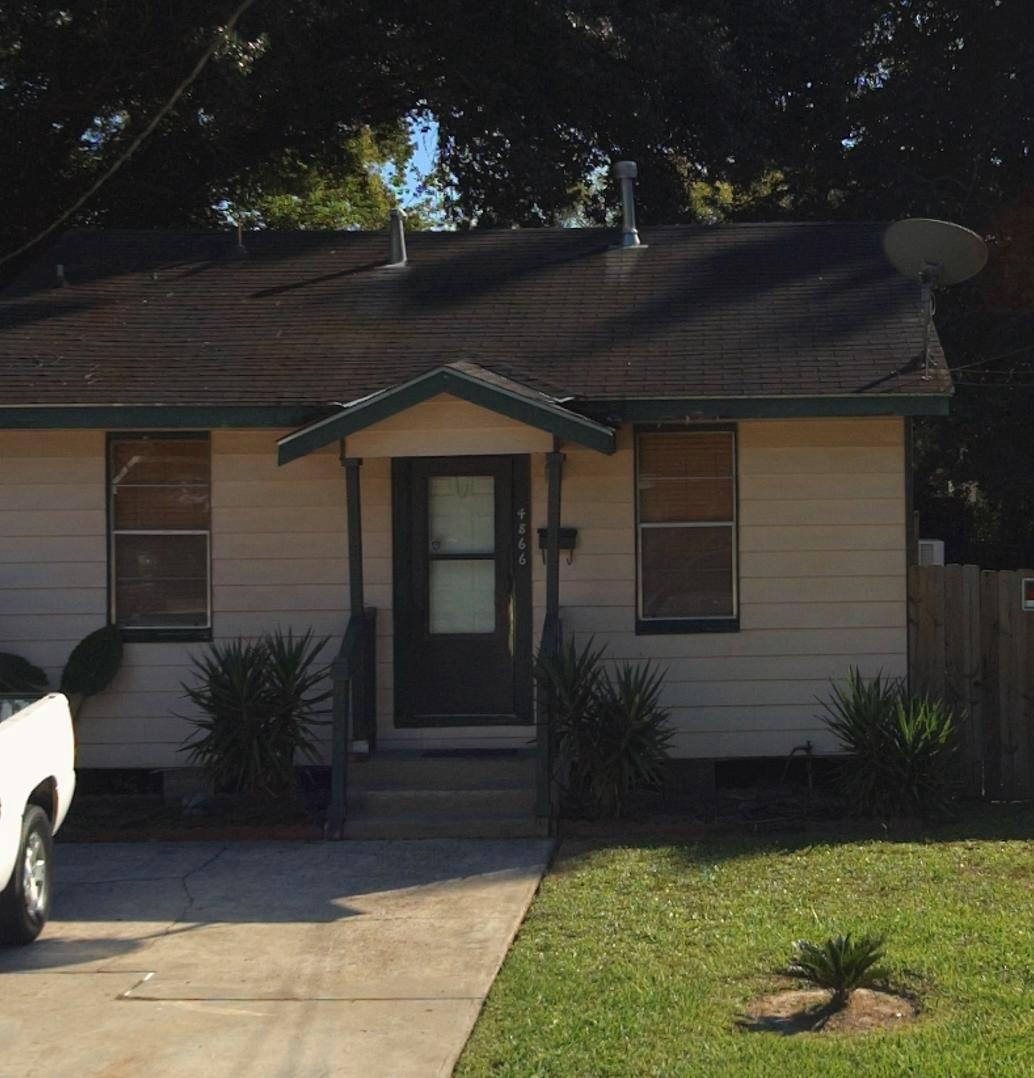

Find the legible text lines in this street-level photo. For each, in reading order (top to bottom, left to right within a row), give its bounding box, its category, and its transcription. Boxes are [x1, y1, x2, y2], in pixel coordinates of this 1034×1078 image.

[515, 507, 528, 567] StreetNumber: 4866